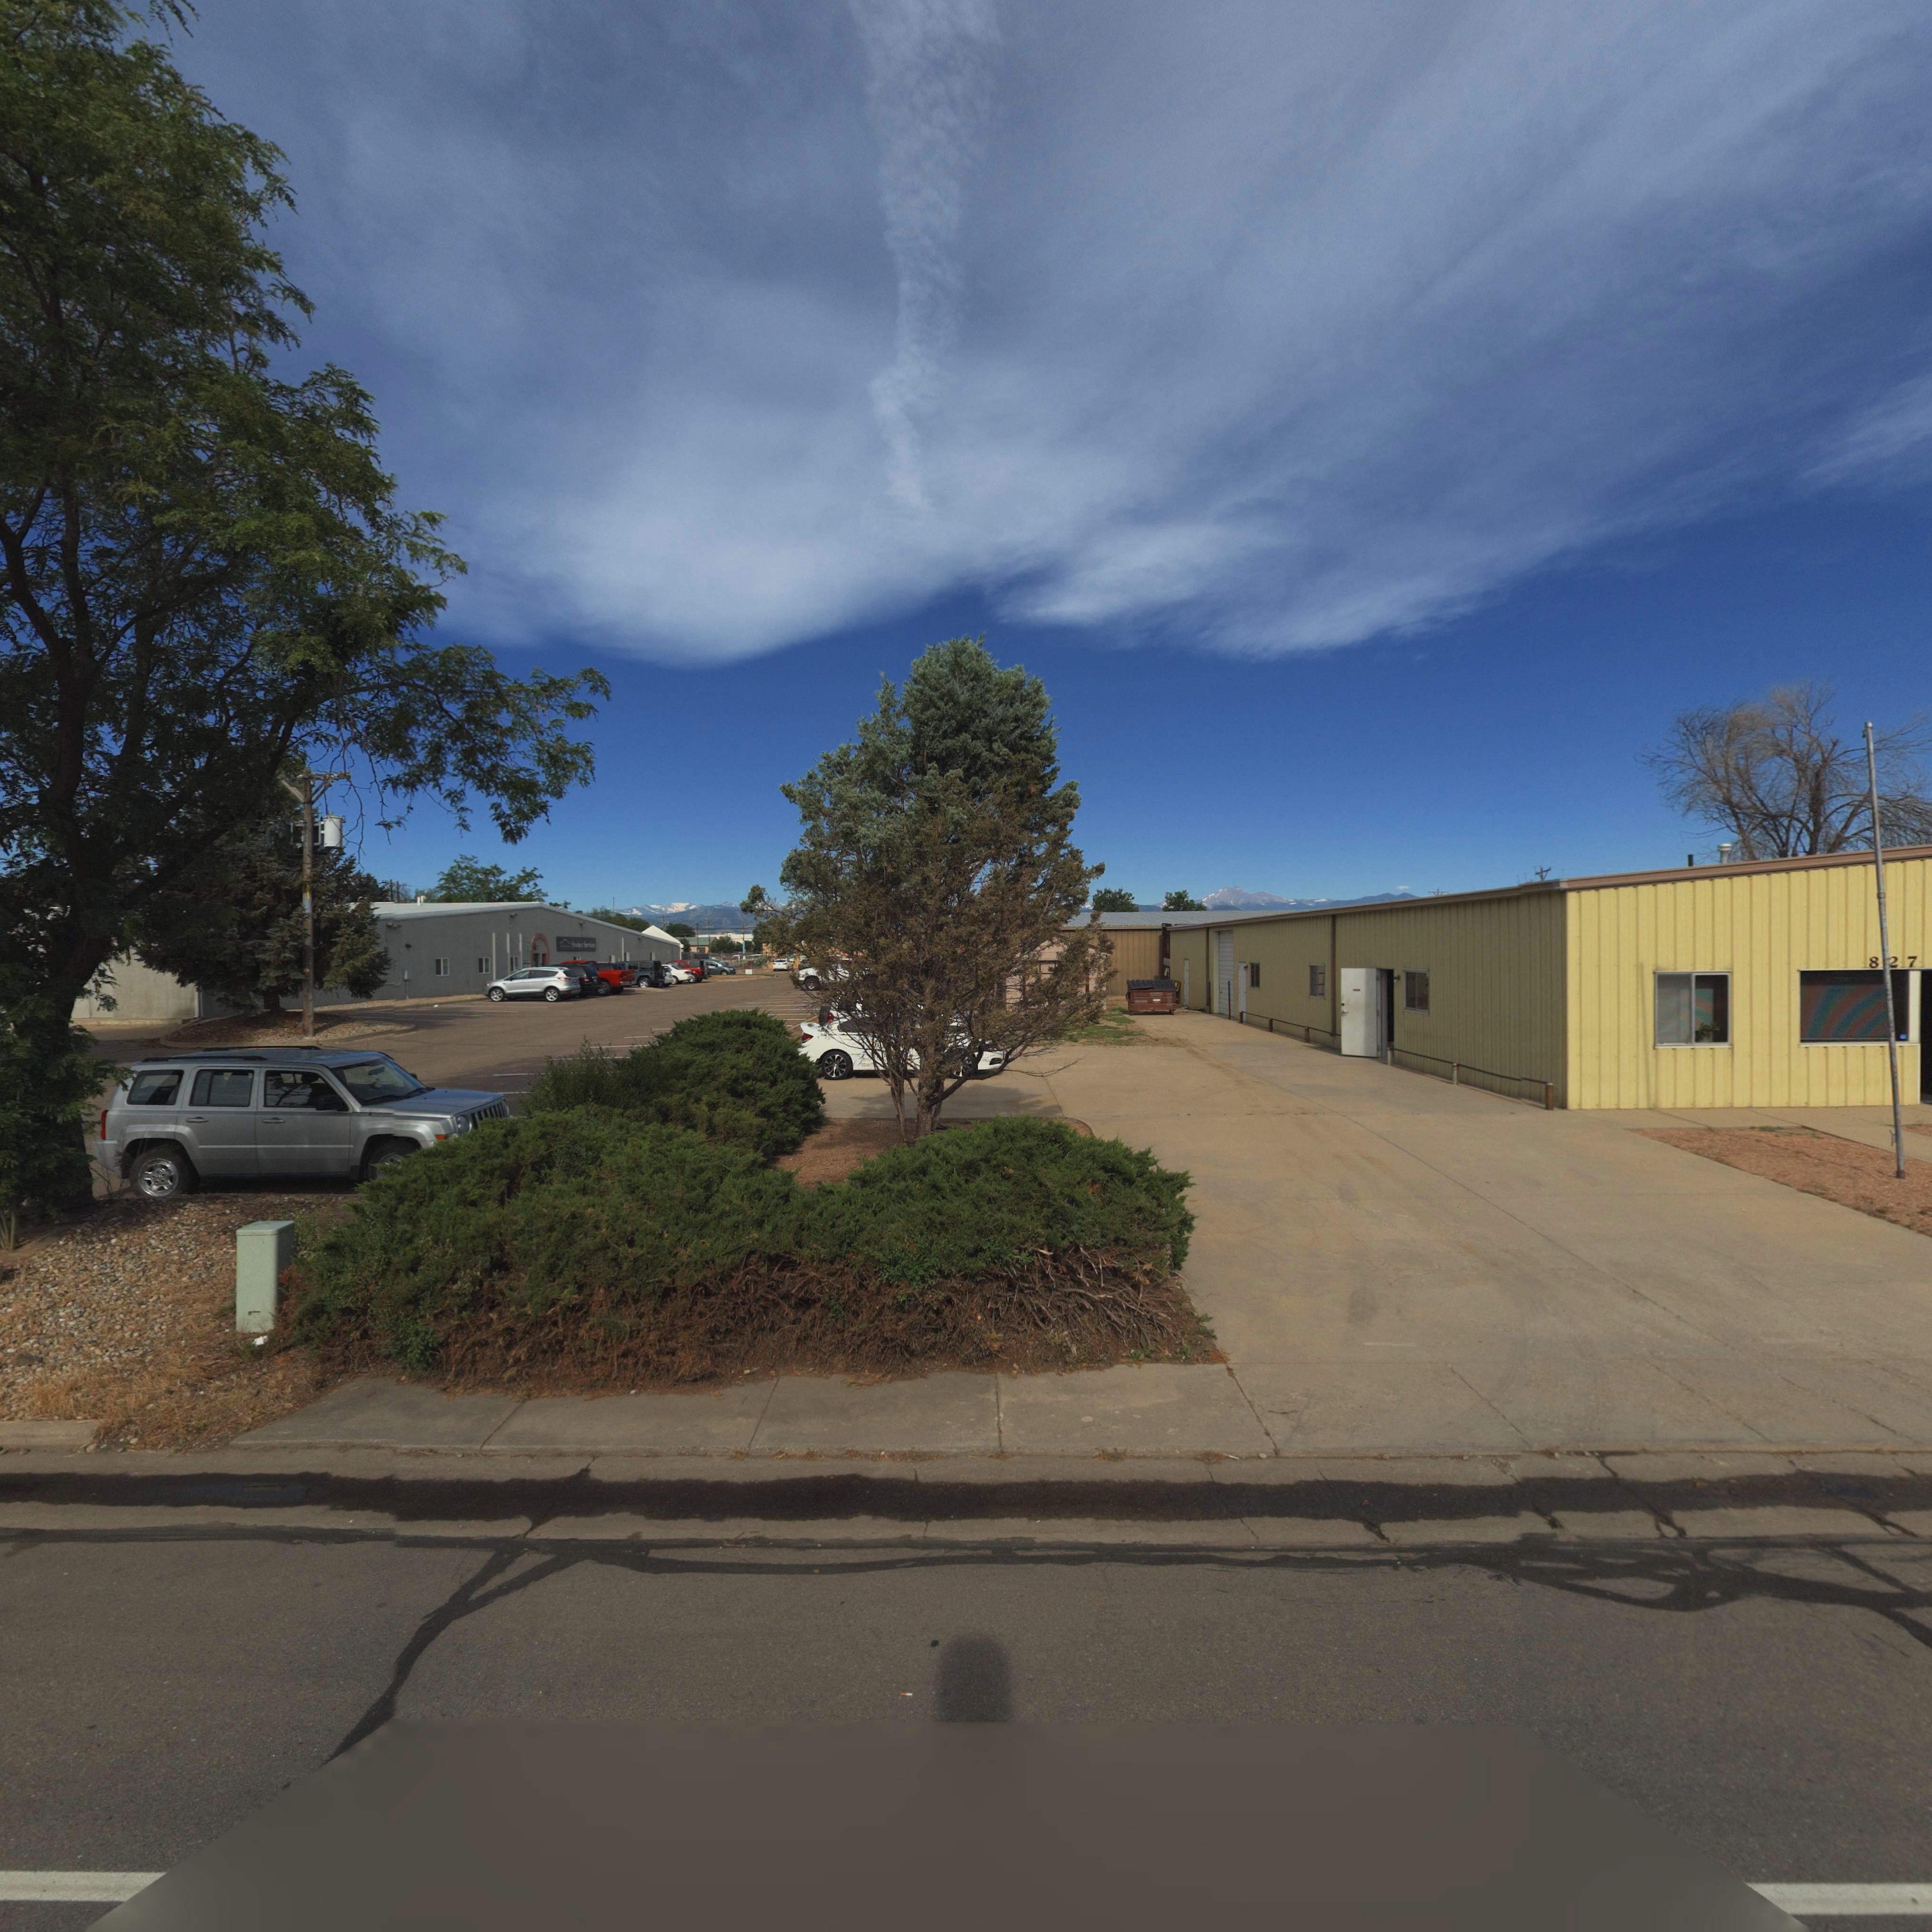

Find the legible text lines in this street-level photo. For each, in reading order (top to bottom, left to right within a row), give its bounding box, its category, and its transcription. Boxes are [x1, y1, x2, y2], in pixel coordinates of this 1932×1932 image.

[1869, 956, 1917, 969] StreetNumber: 827